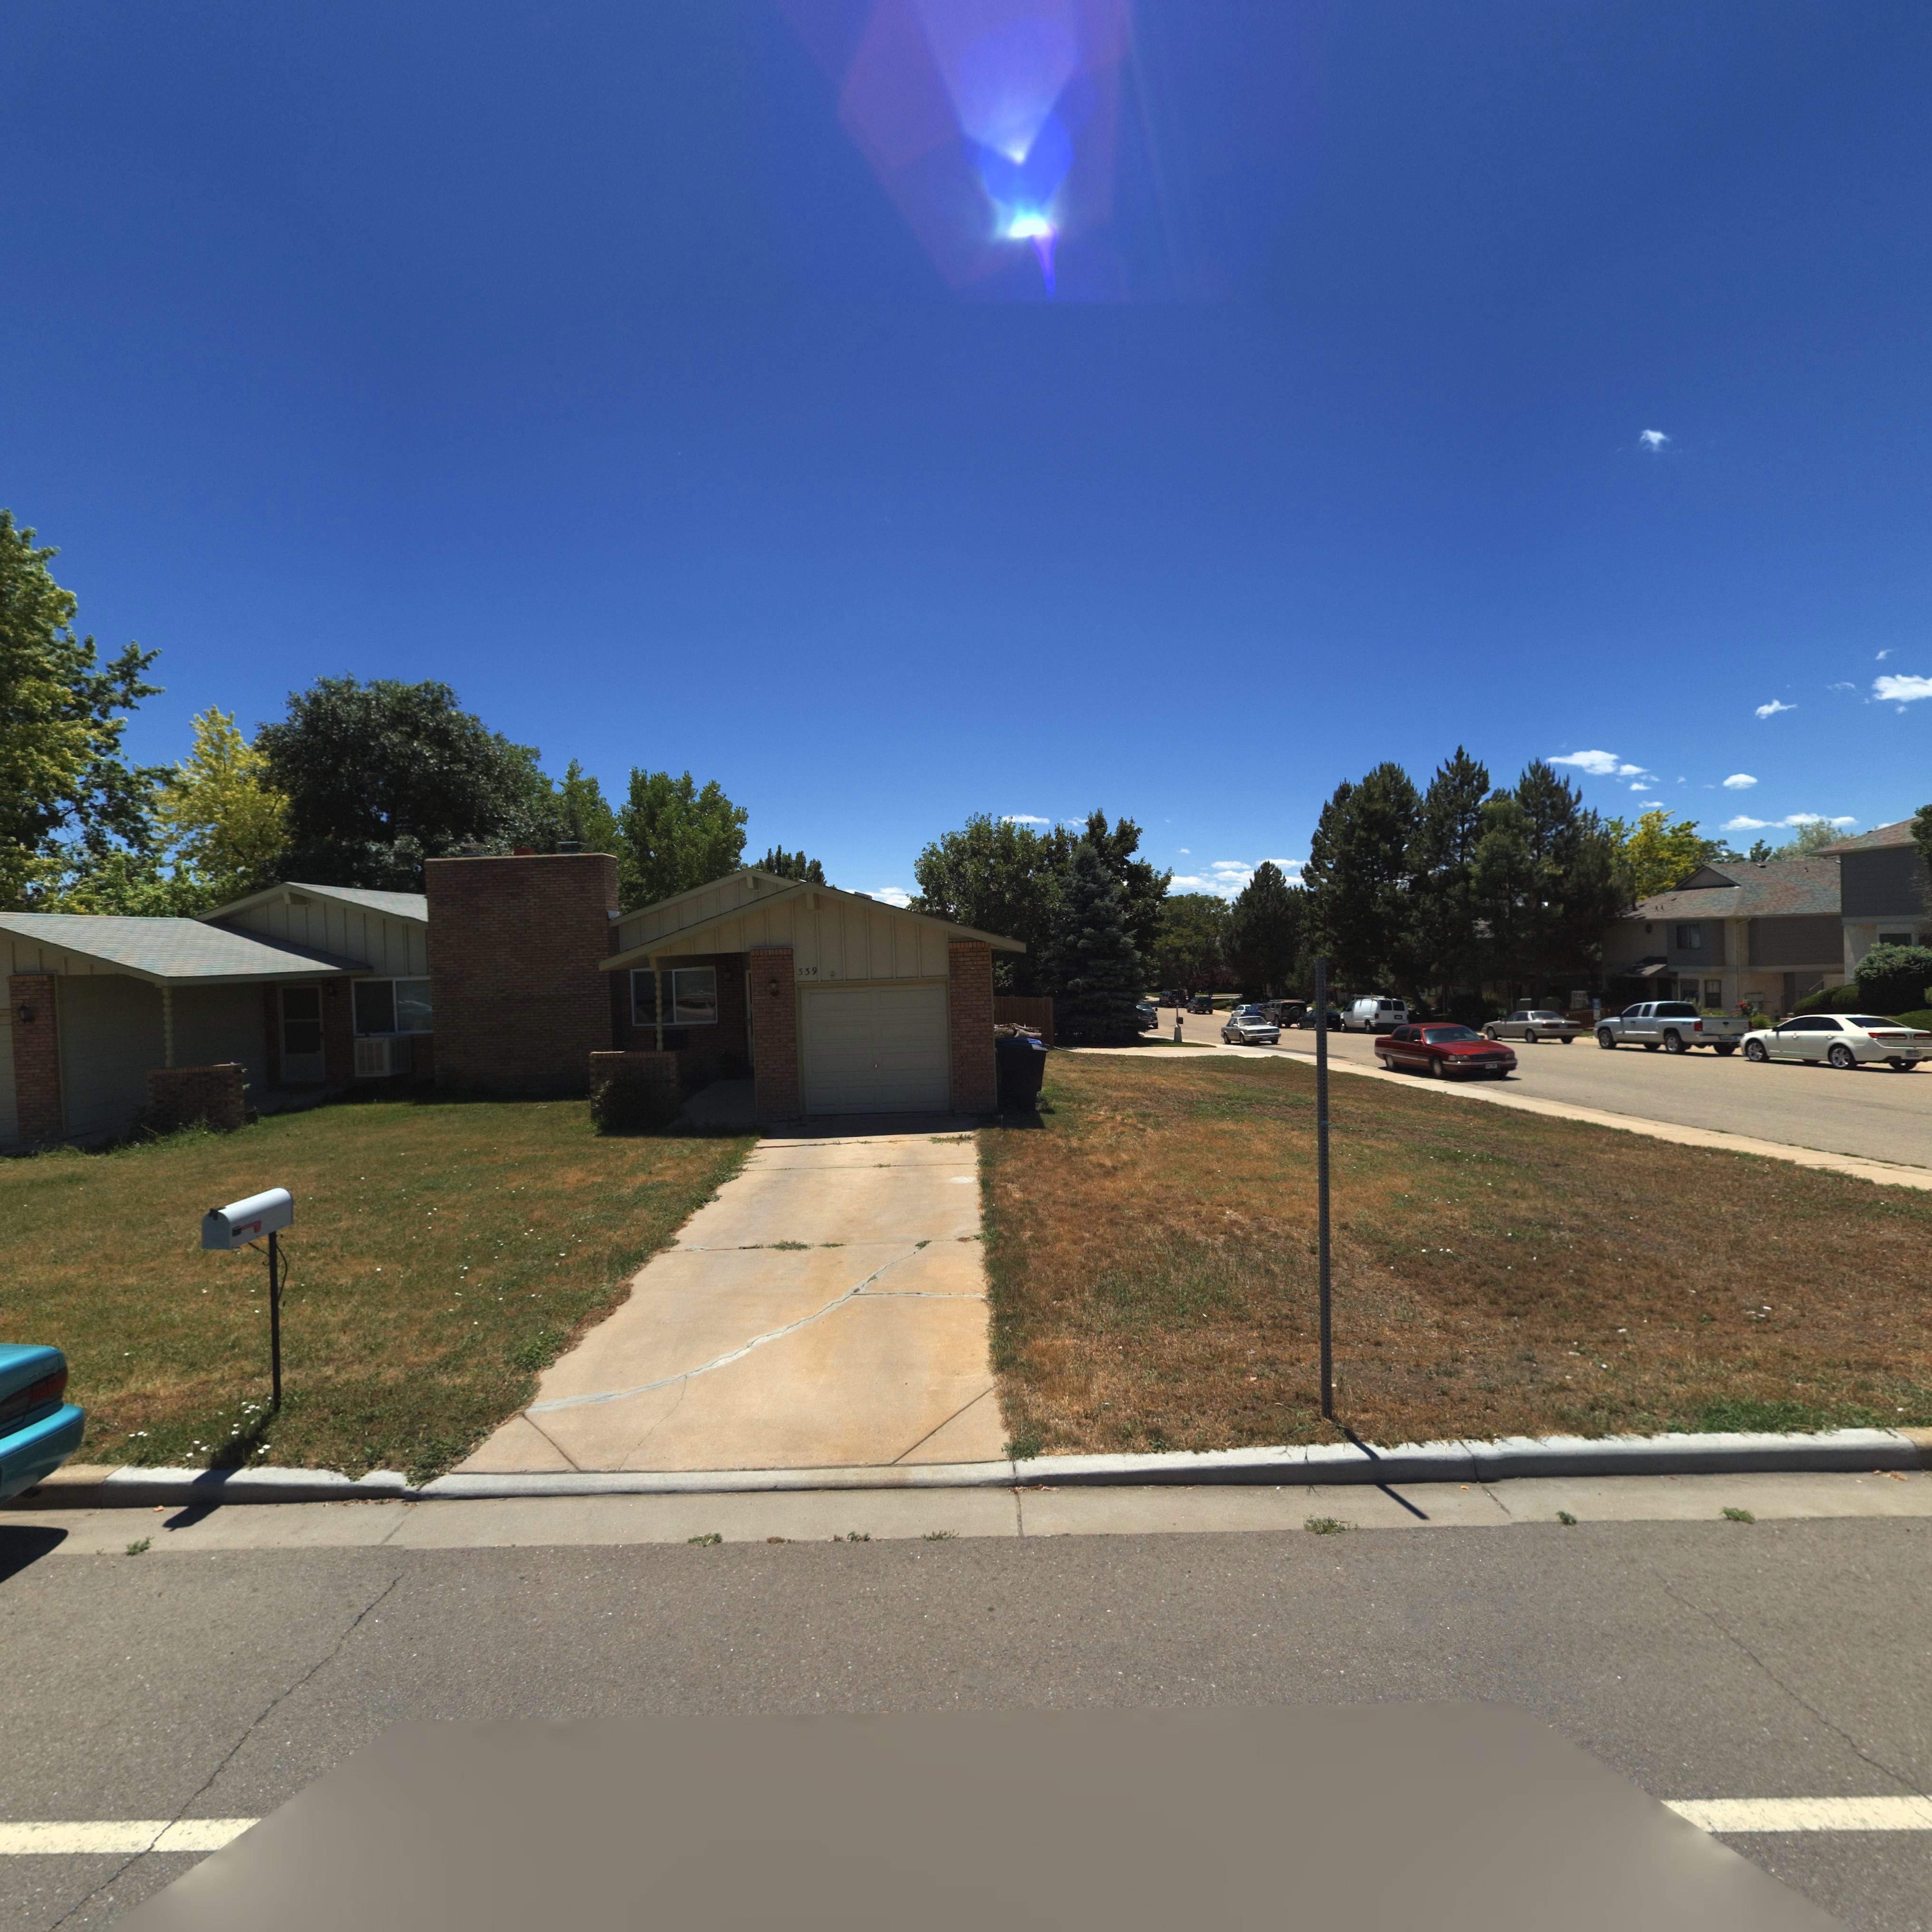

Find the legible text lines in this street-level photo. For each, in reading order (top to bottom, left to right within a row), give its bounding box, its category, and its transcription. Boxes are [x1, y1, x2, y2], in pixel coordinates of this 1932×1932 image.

[797, 966, 817, 976] StreetNumber: 339